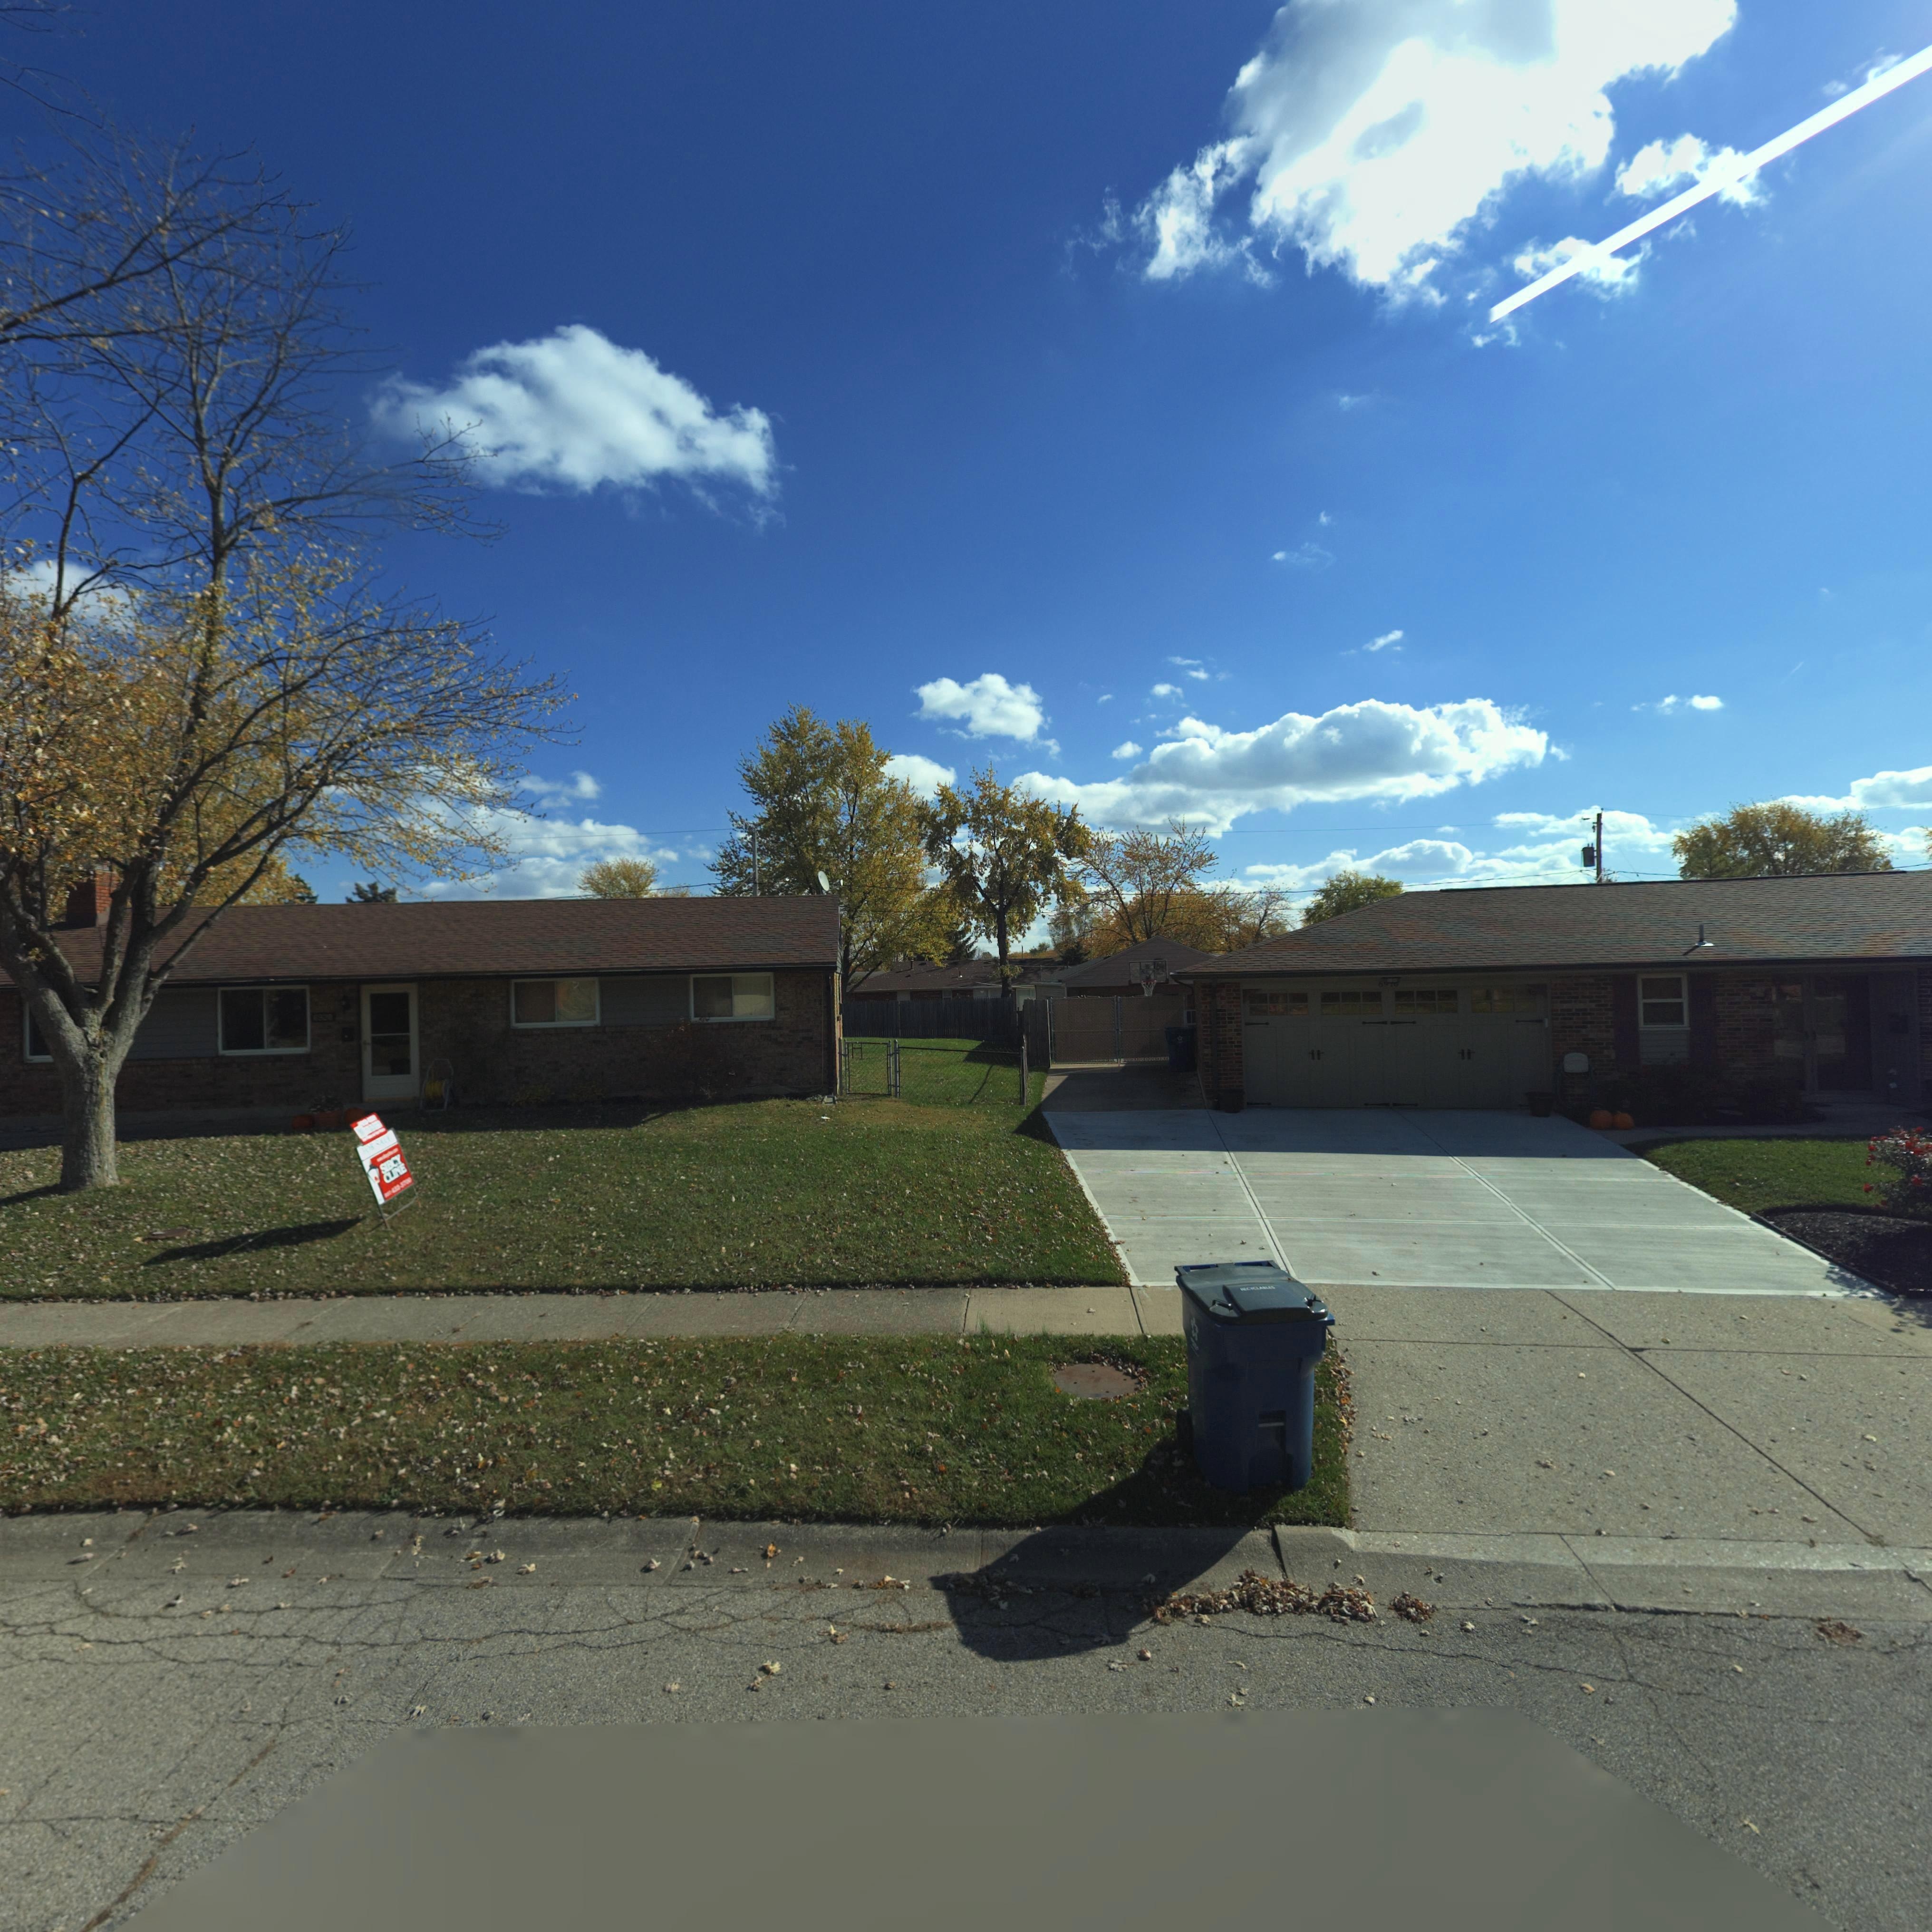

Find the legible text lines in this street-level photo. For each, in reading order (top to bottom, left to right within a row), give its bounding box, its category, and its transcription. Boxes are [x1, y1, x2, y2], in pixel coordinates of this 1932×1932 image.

[1377, 979, 1384, 988] StreetNumber: 6
[310, 1011, 334, 1024] StreetNumber: *92*